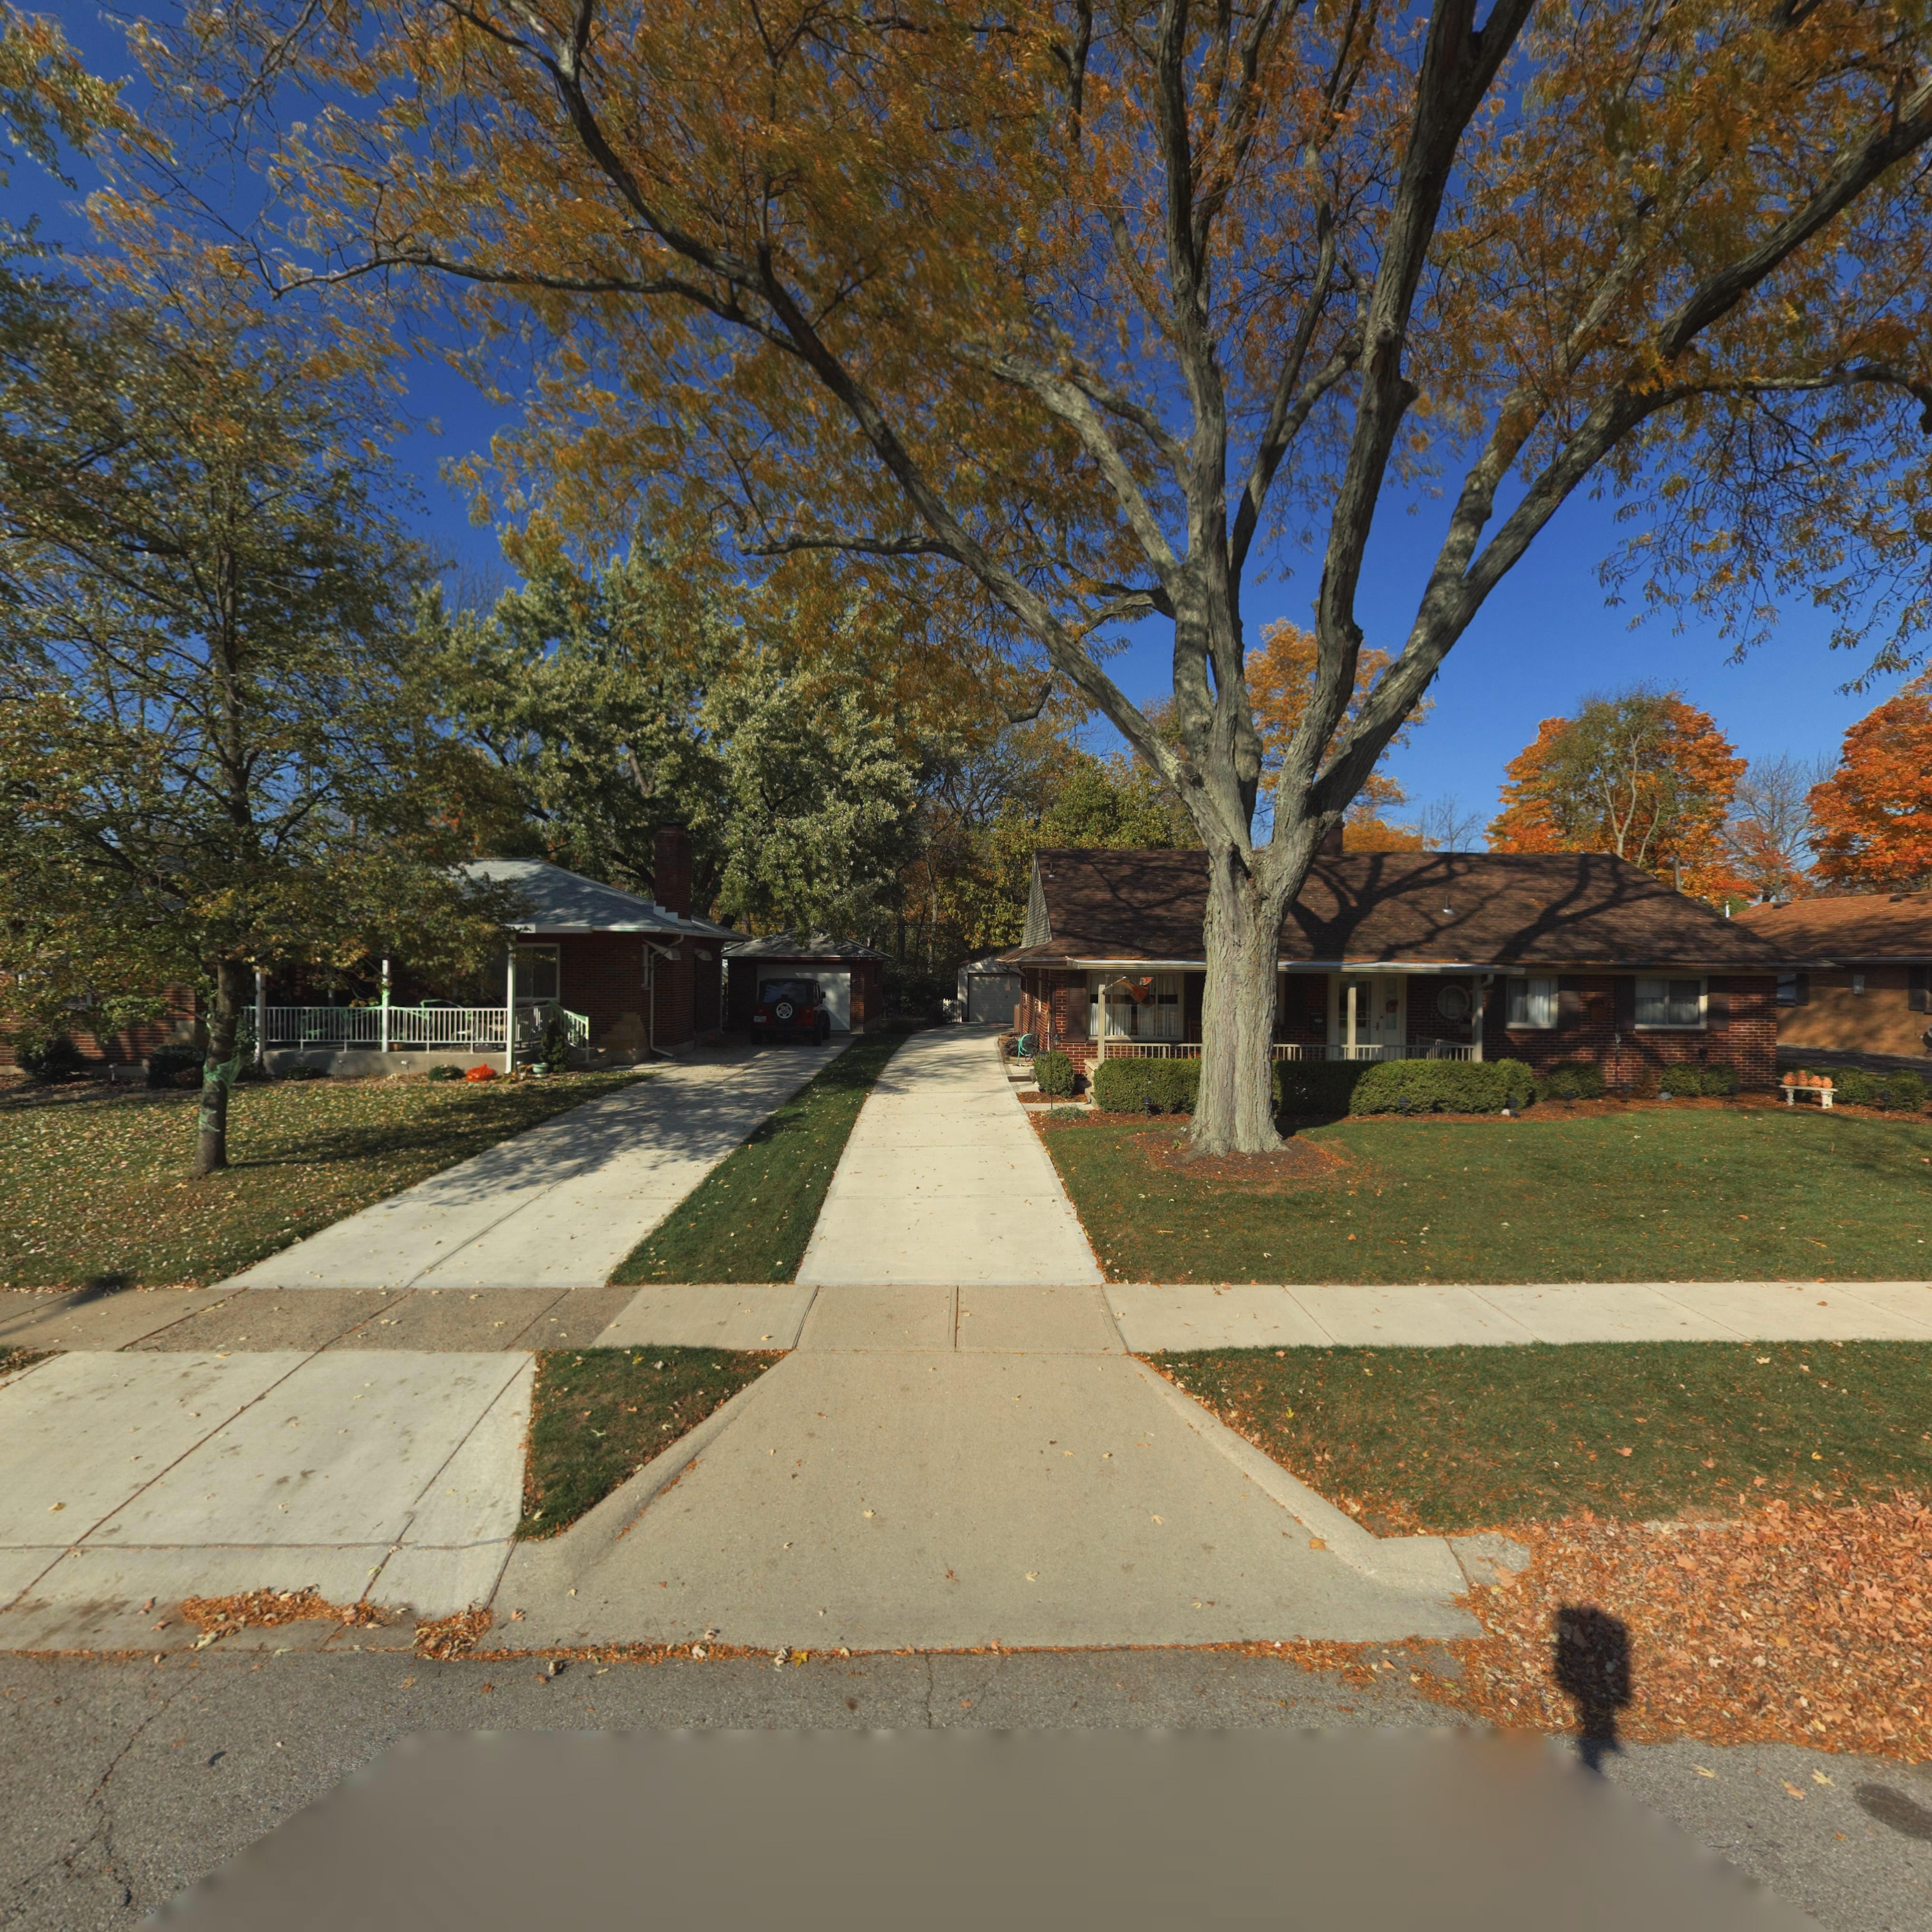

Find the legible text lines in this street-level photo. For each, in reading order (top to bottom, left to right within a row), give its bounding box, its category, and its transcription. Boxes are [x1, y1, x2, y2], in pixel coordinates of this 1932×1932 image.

[1312, 1024, 1325, 1032] StreetNumber: 613